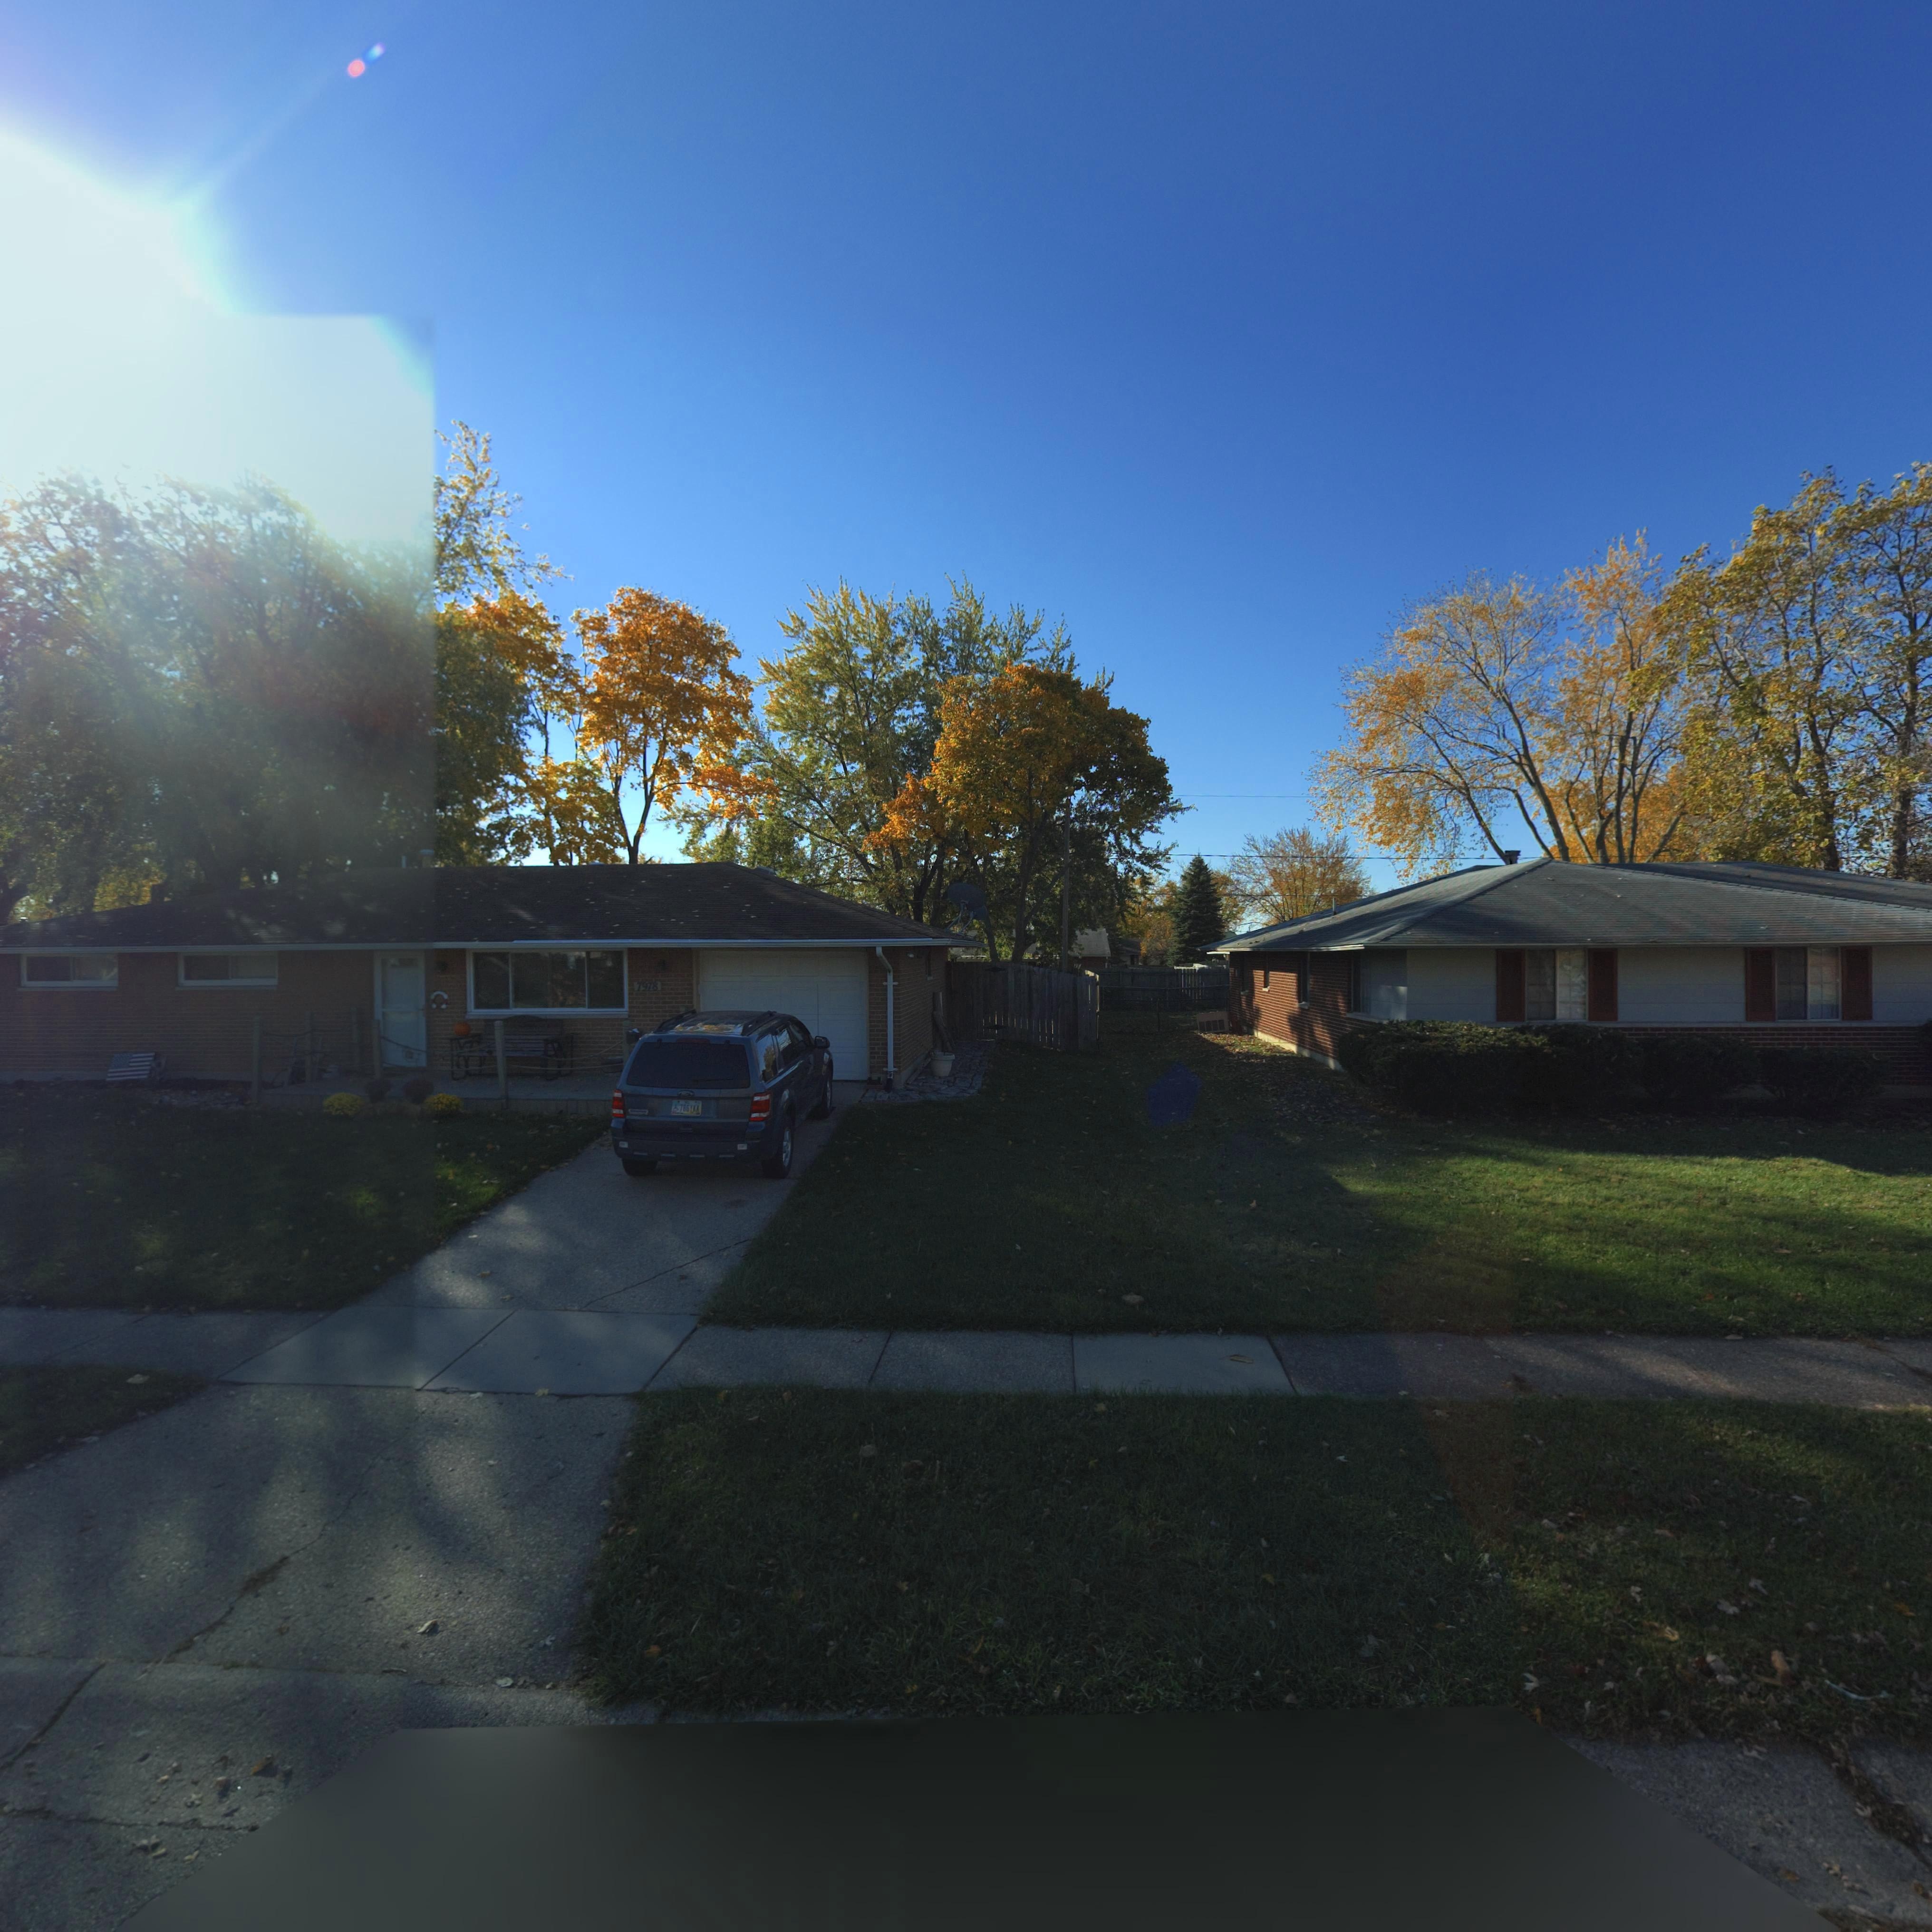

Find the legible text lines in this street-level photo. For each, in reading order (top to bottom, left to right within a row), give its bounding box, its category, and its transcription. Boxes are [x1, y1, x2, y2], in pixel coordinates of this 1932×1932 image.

[635, 980, 659, 993] StreetNumber: 7978